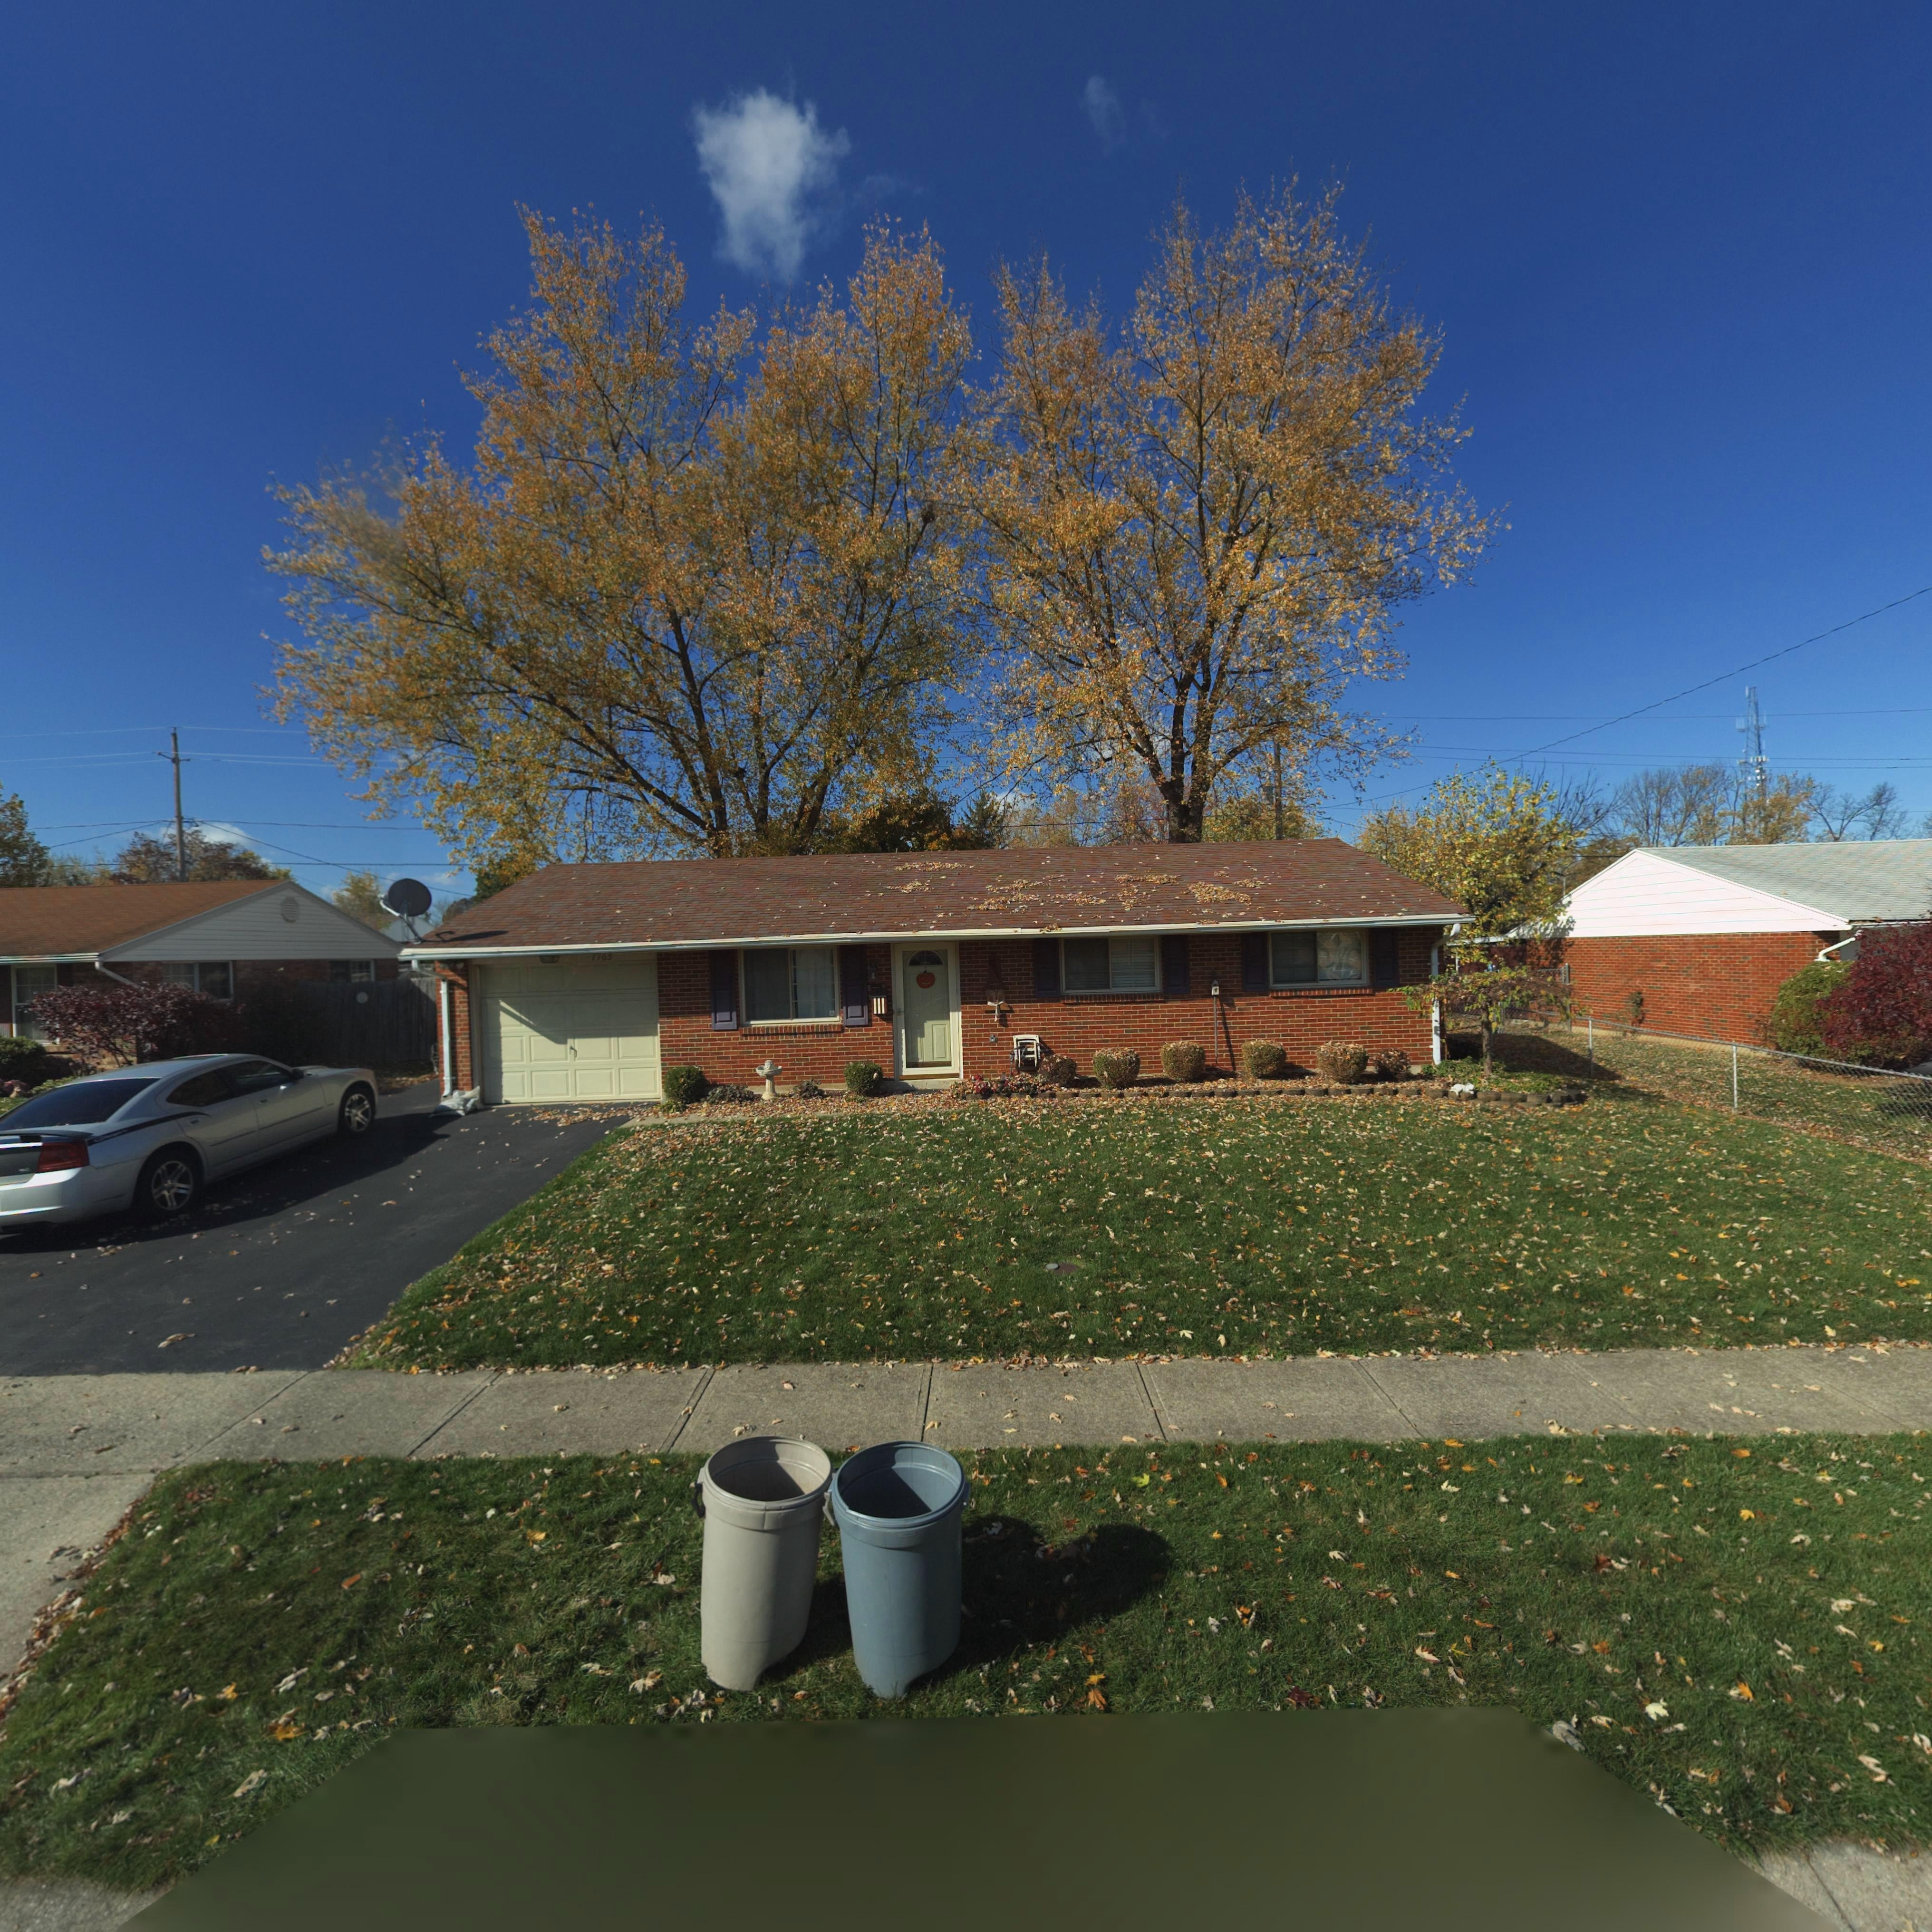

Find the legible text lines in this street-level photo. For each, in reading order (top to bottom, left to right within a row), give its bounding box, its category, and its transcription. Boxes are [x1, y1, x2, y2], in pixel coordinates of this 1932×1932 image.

[590, 953, 613, 962] StreetNumber: 7765